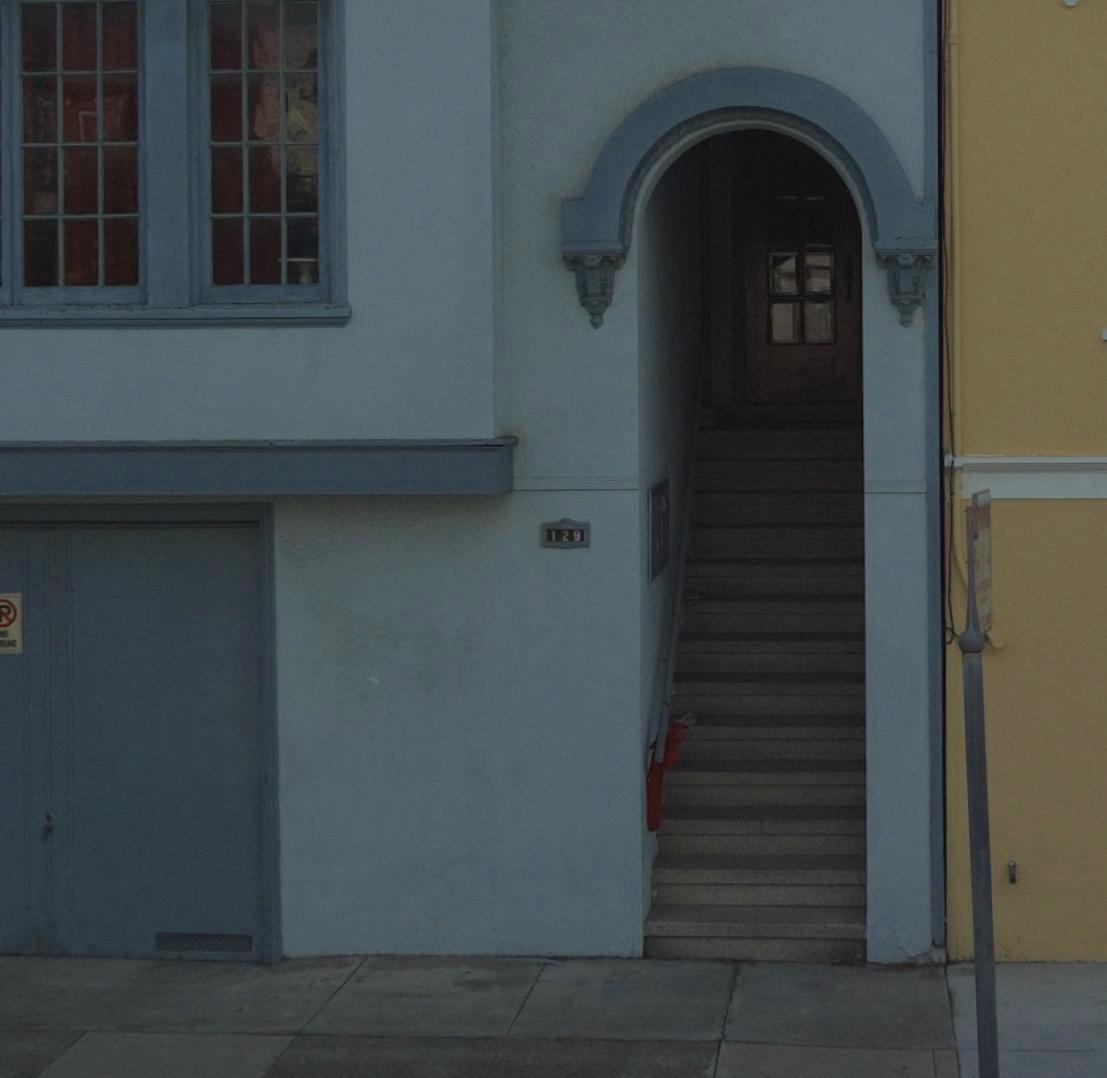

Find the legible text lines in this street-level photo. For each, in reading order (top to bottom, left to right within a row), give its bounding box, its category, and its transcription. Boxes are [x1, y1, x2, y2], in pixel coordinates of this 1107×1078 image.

[550, 529, 583, 542] StreetNumber: 129